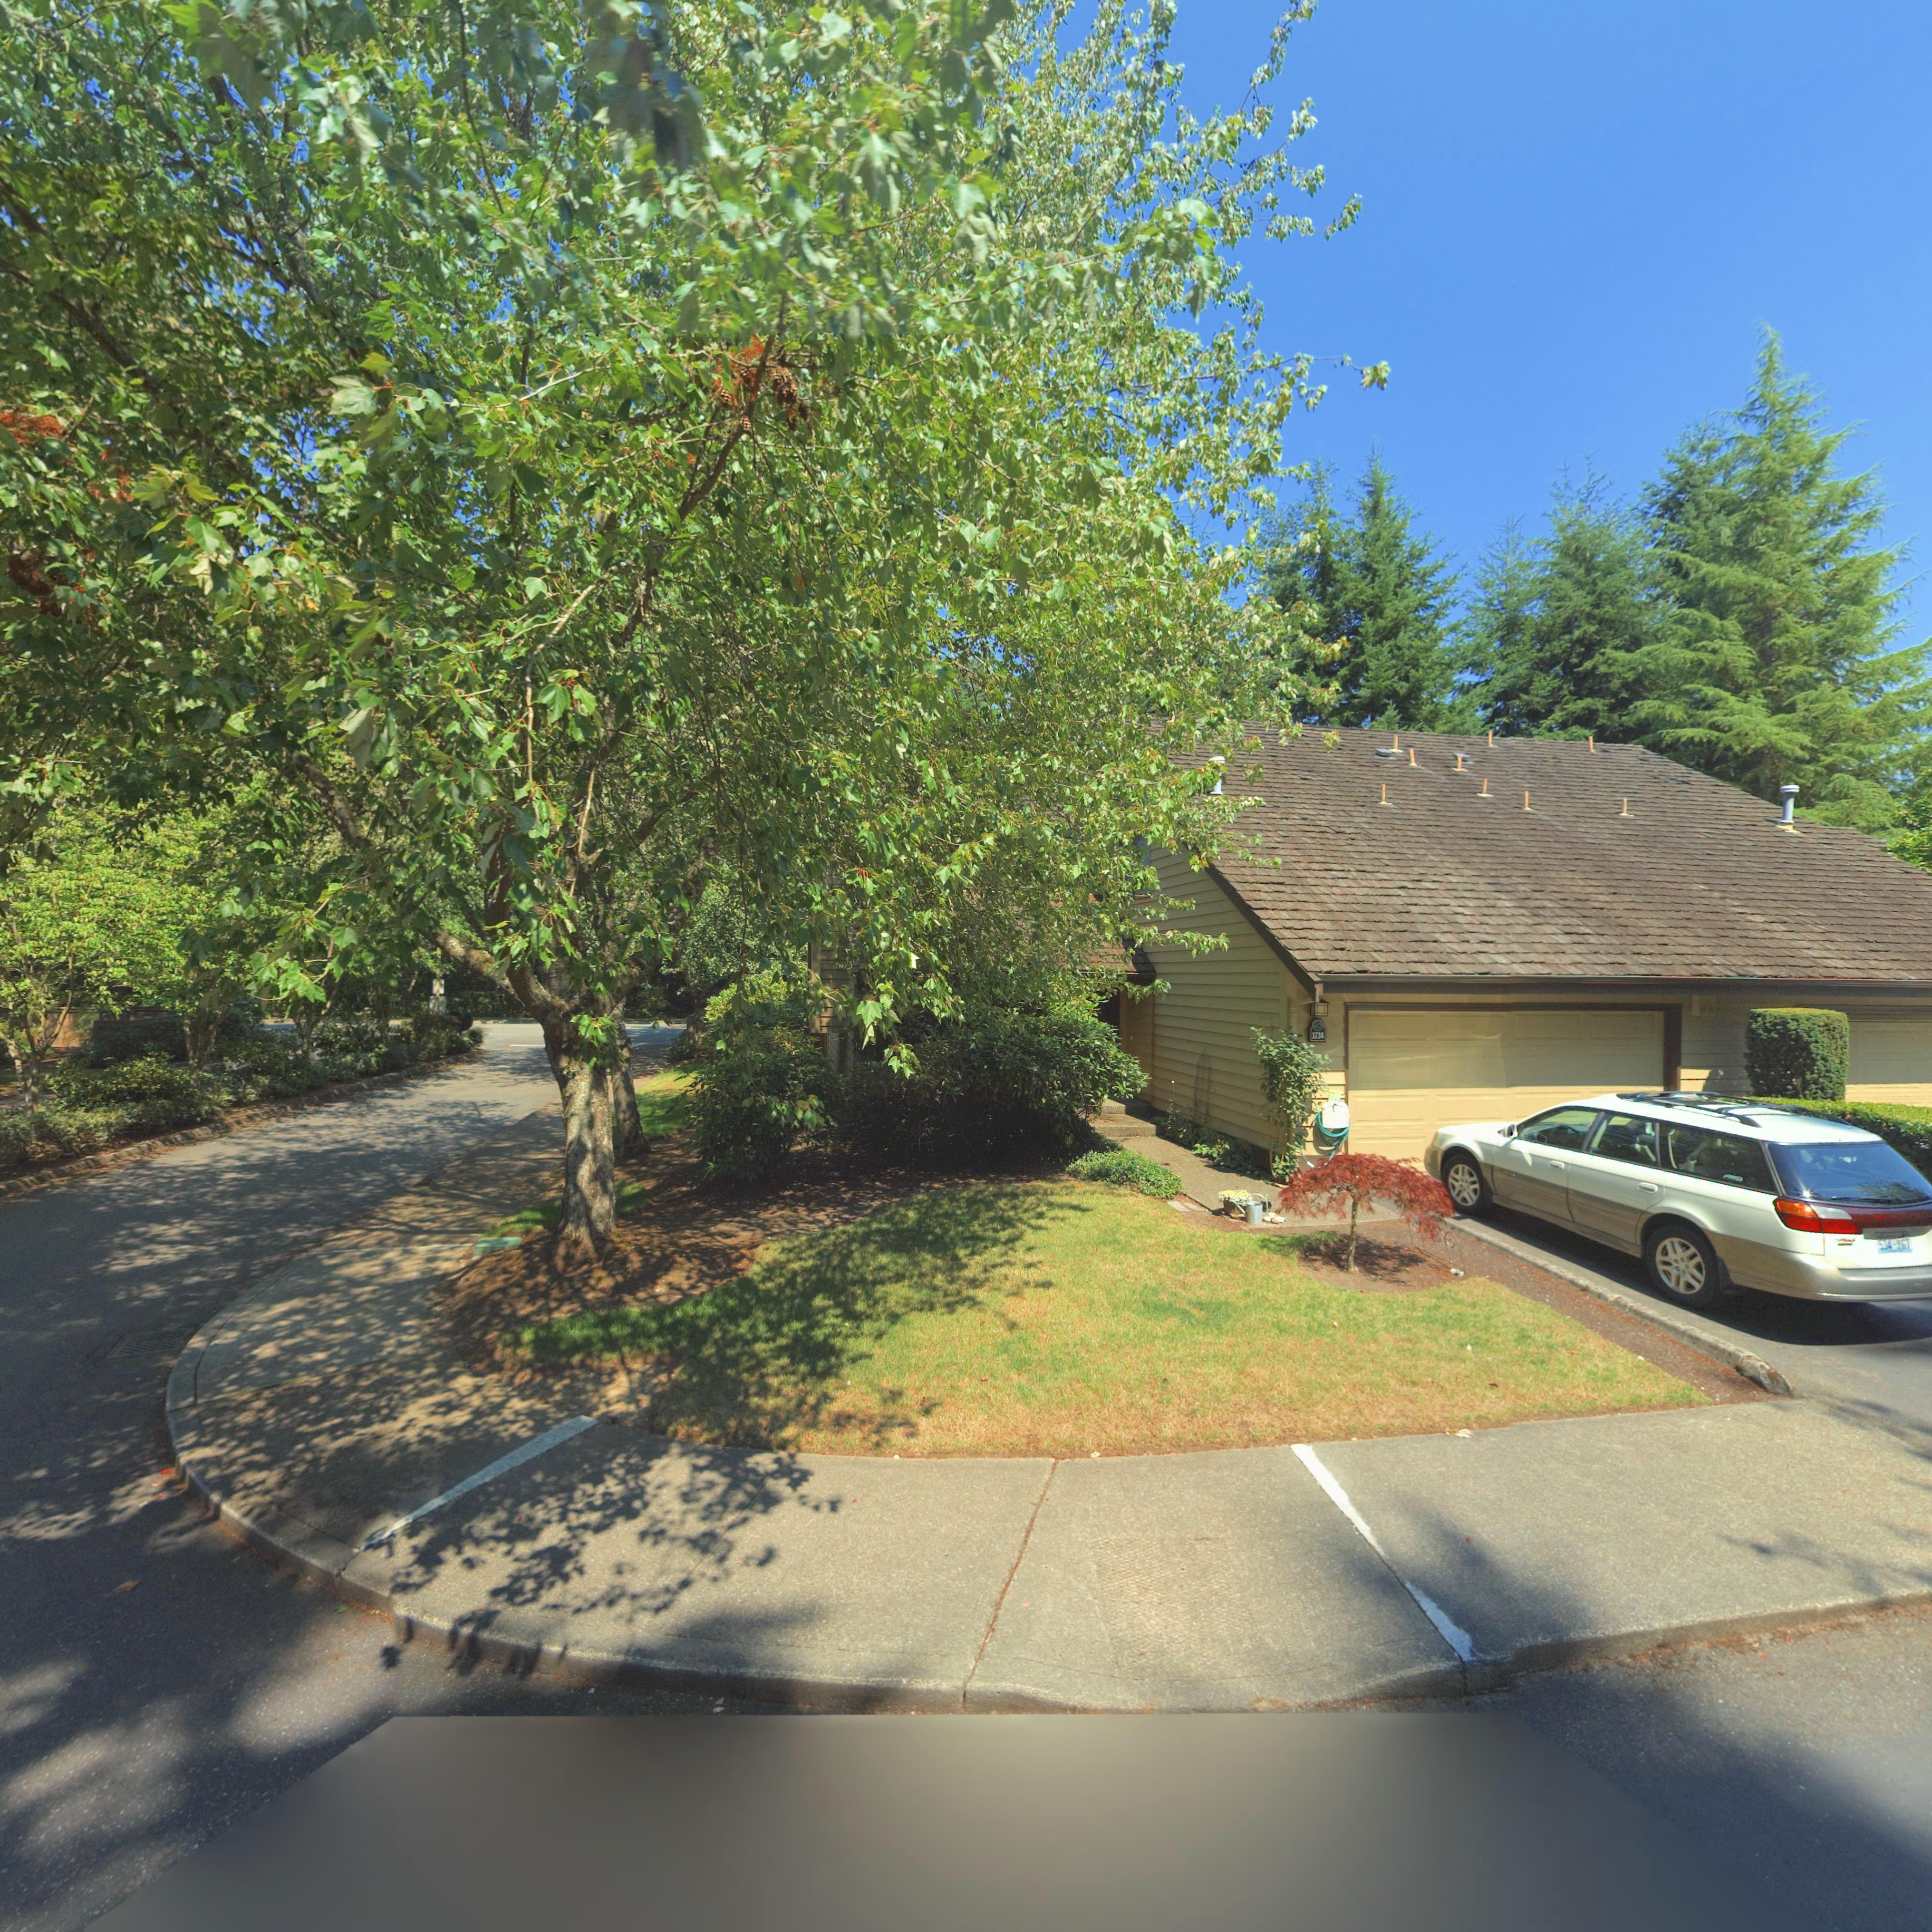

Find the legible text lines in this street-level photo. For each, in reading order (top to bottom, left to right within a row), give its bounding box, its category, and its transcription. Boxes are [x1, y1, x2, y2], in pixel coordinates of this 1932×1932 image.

[1312, 1032, 1323, 1039] StreetNumber: 1734